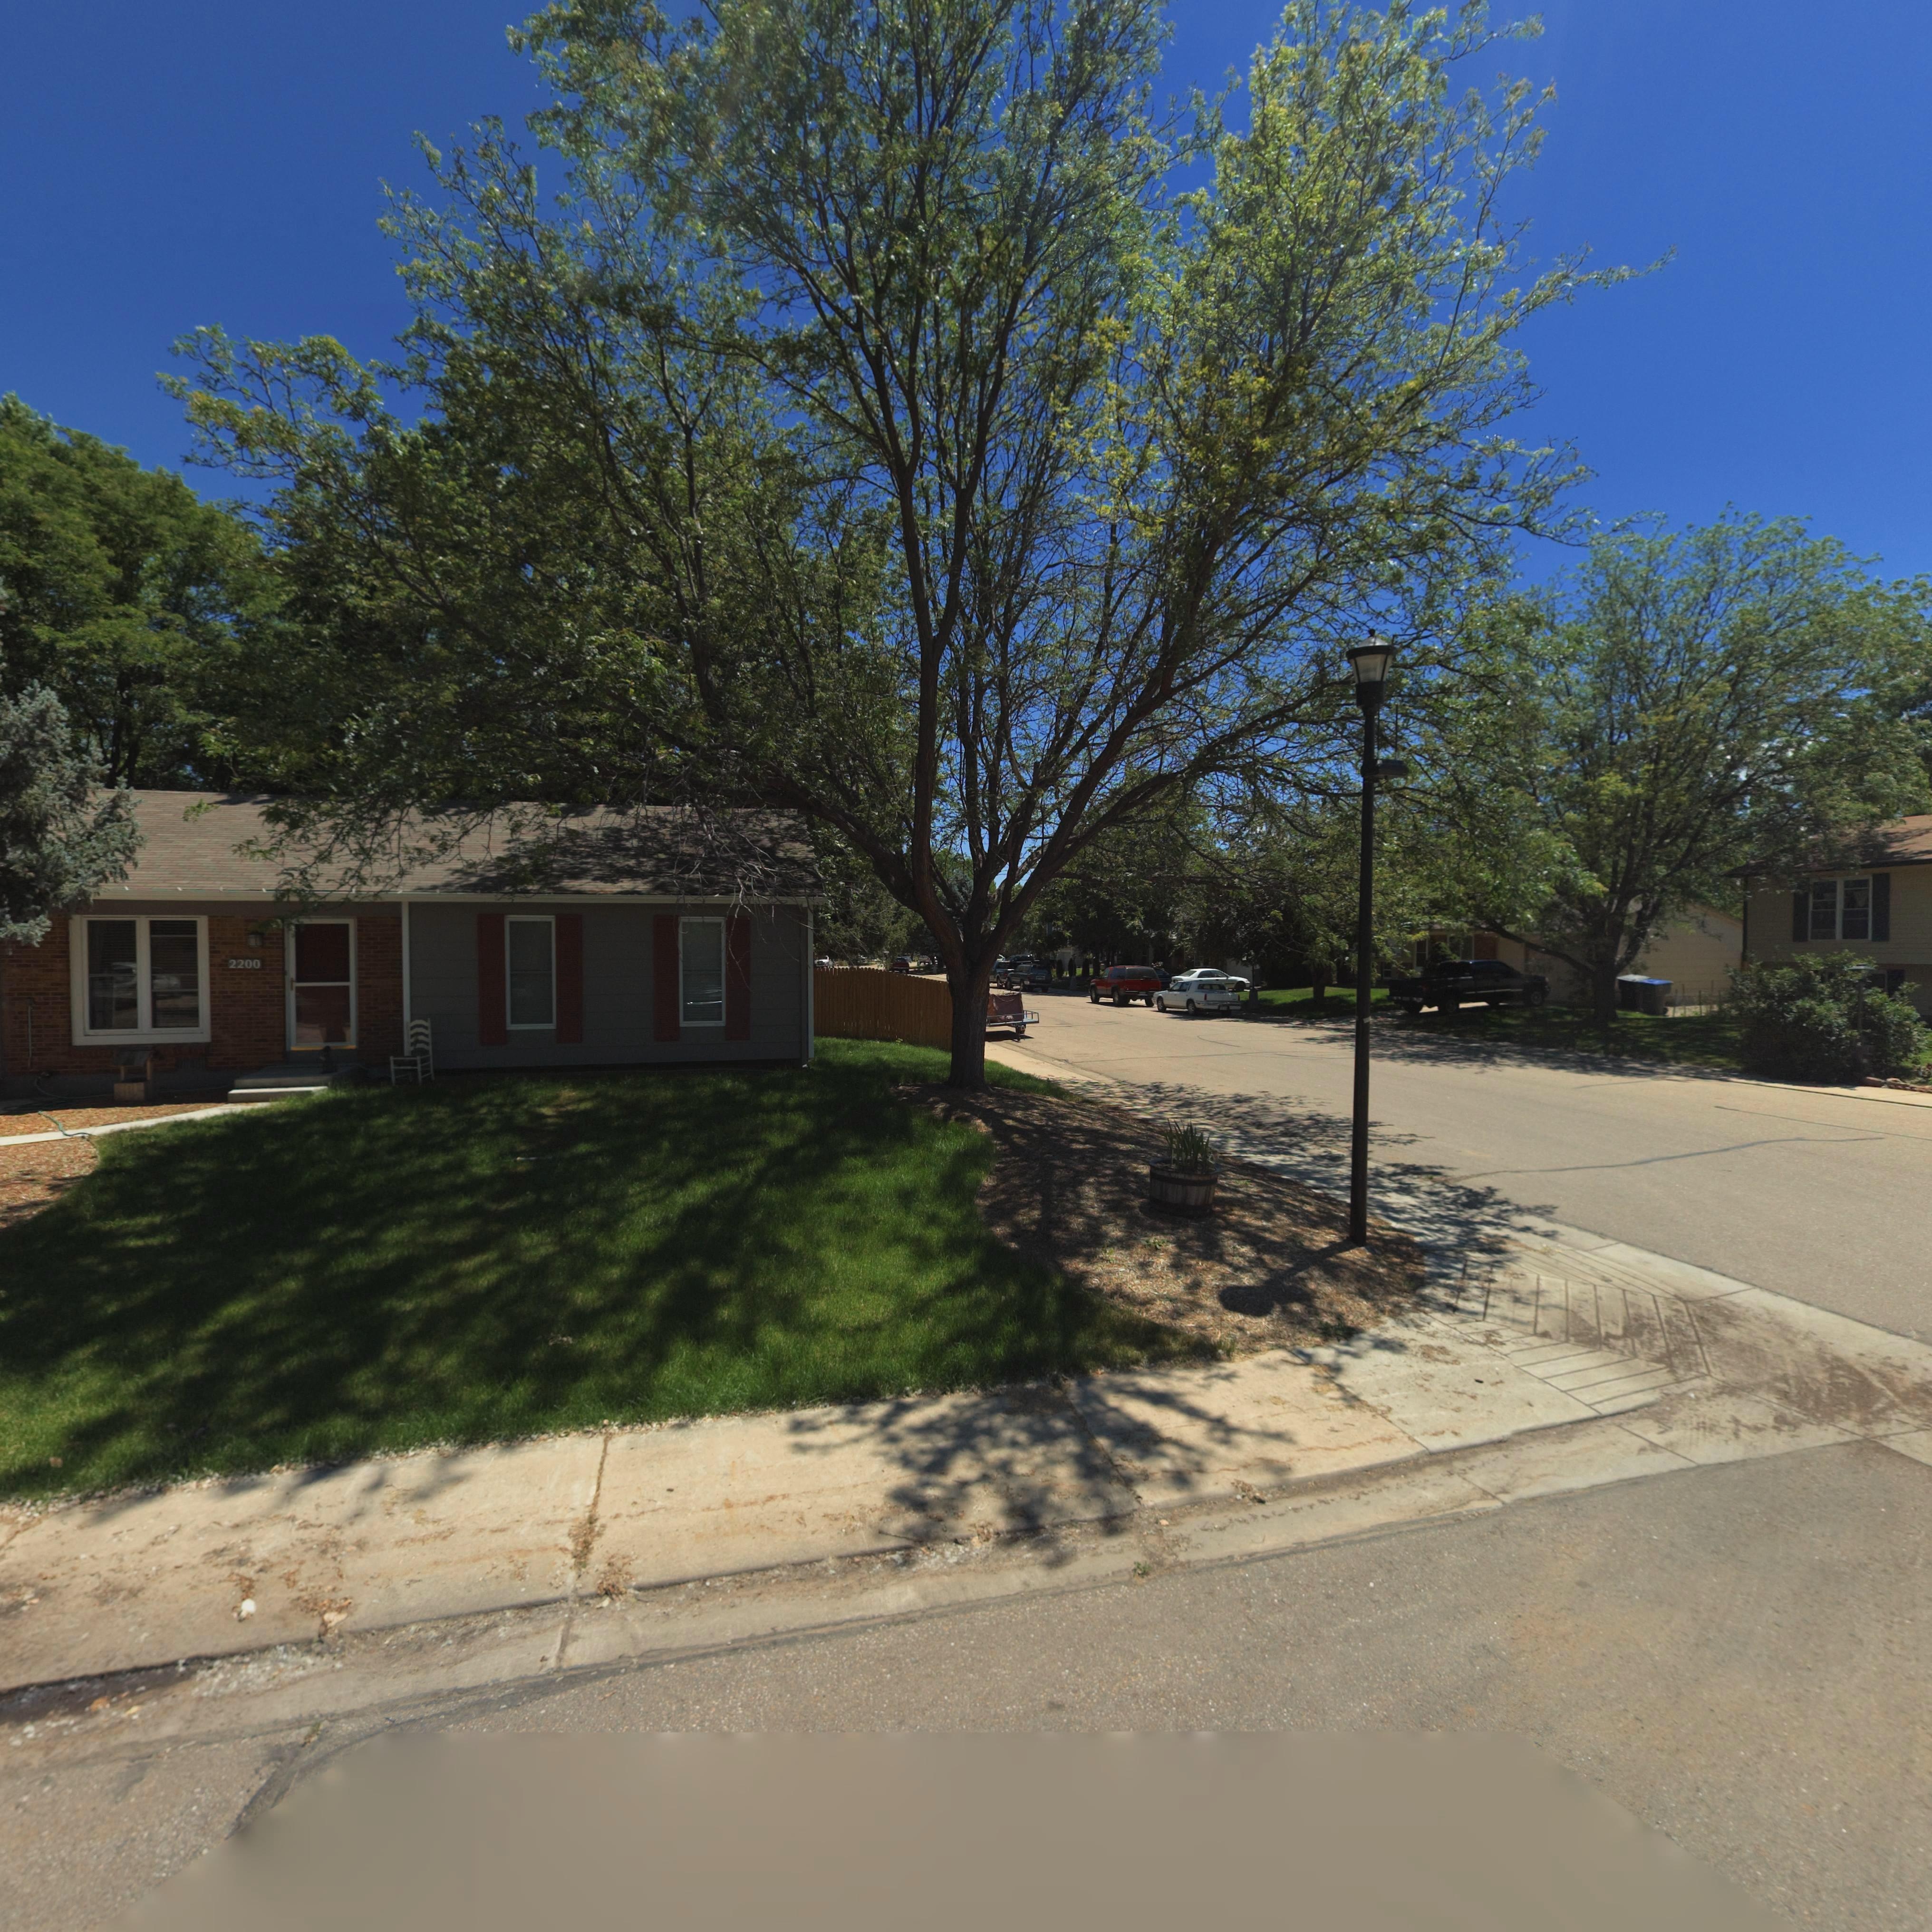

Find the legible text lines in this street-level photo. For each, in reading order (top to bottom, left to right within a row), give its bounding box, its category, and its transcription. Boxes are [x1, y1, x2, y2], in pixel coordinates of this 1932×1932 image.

[229, 959, 260, 968] StreetNumber: 2200